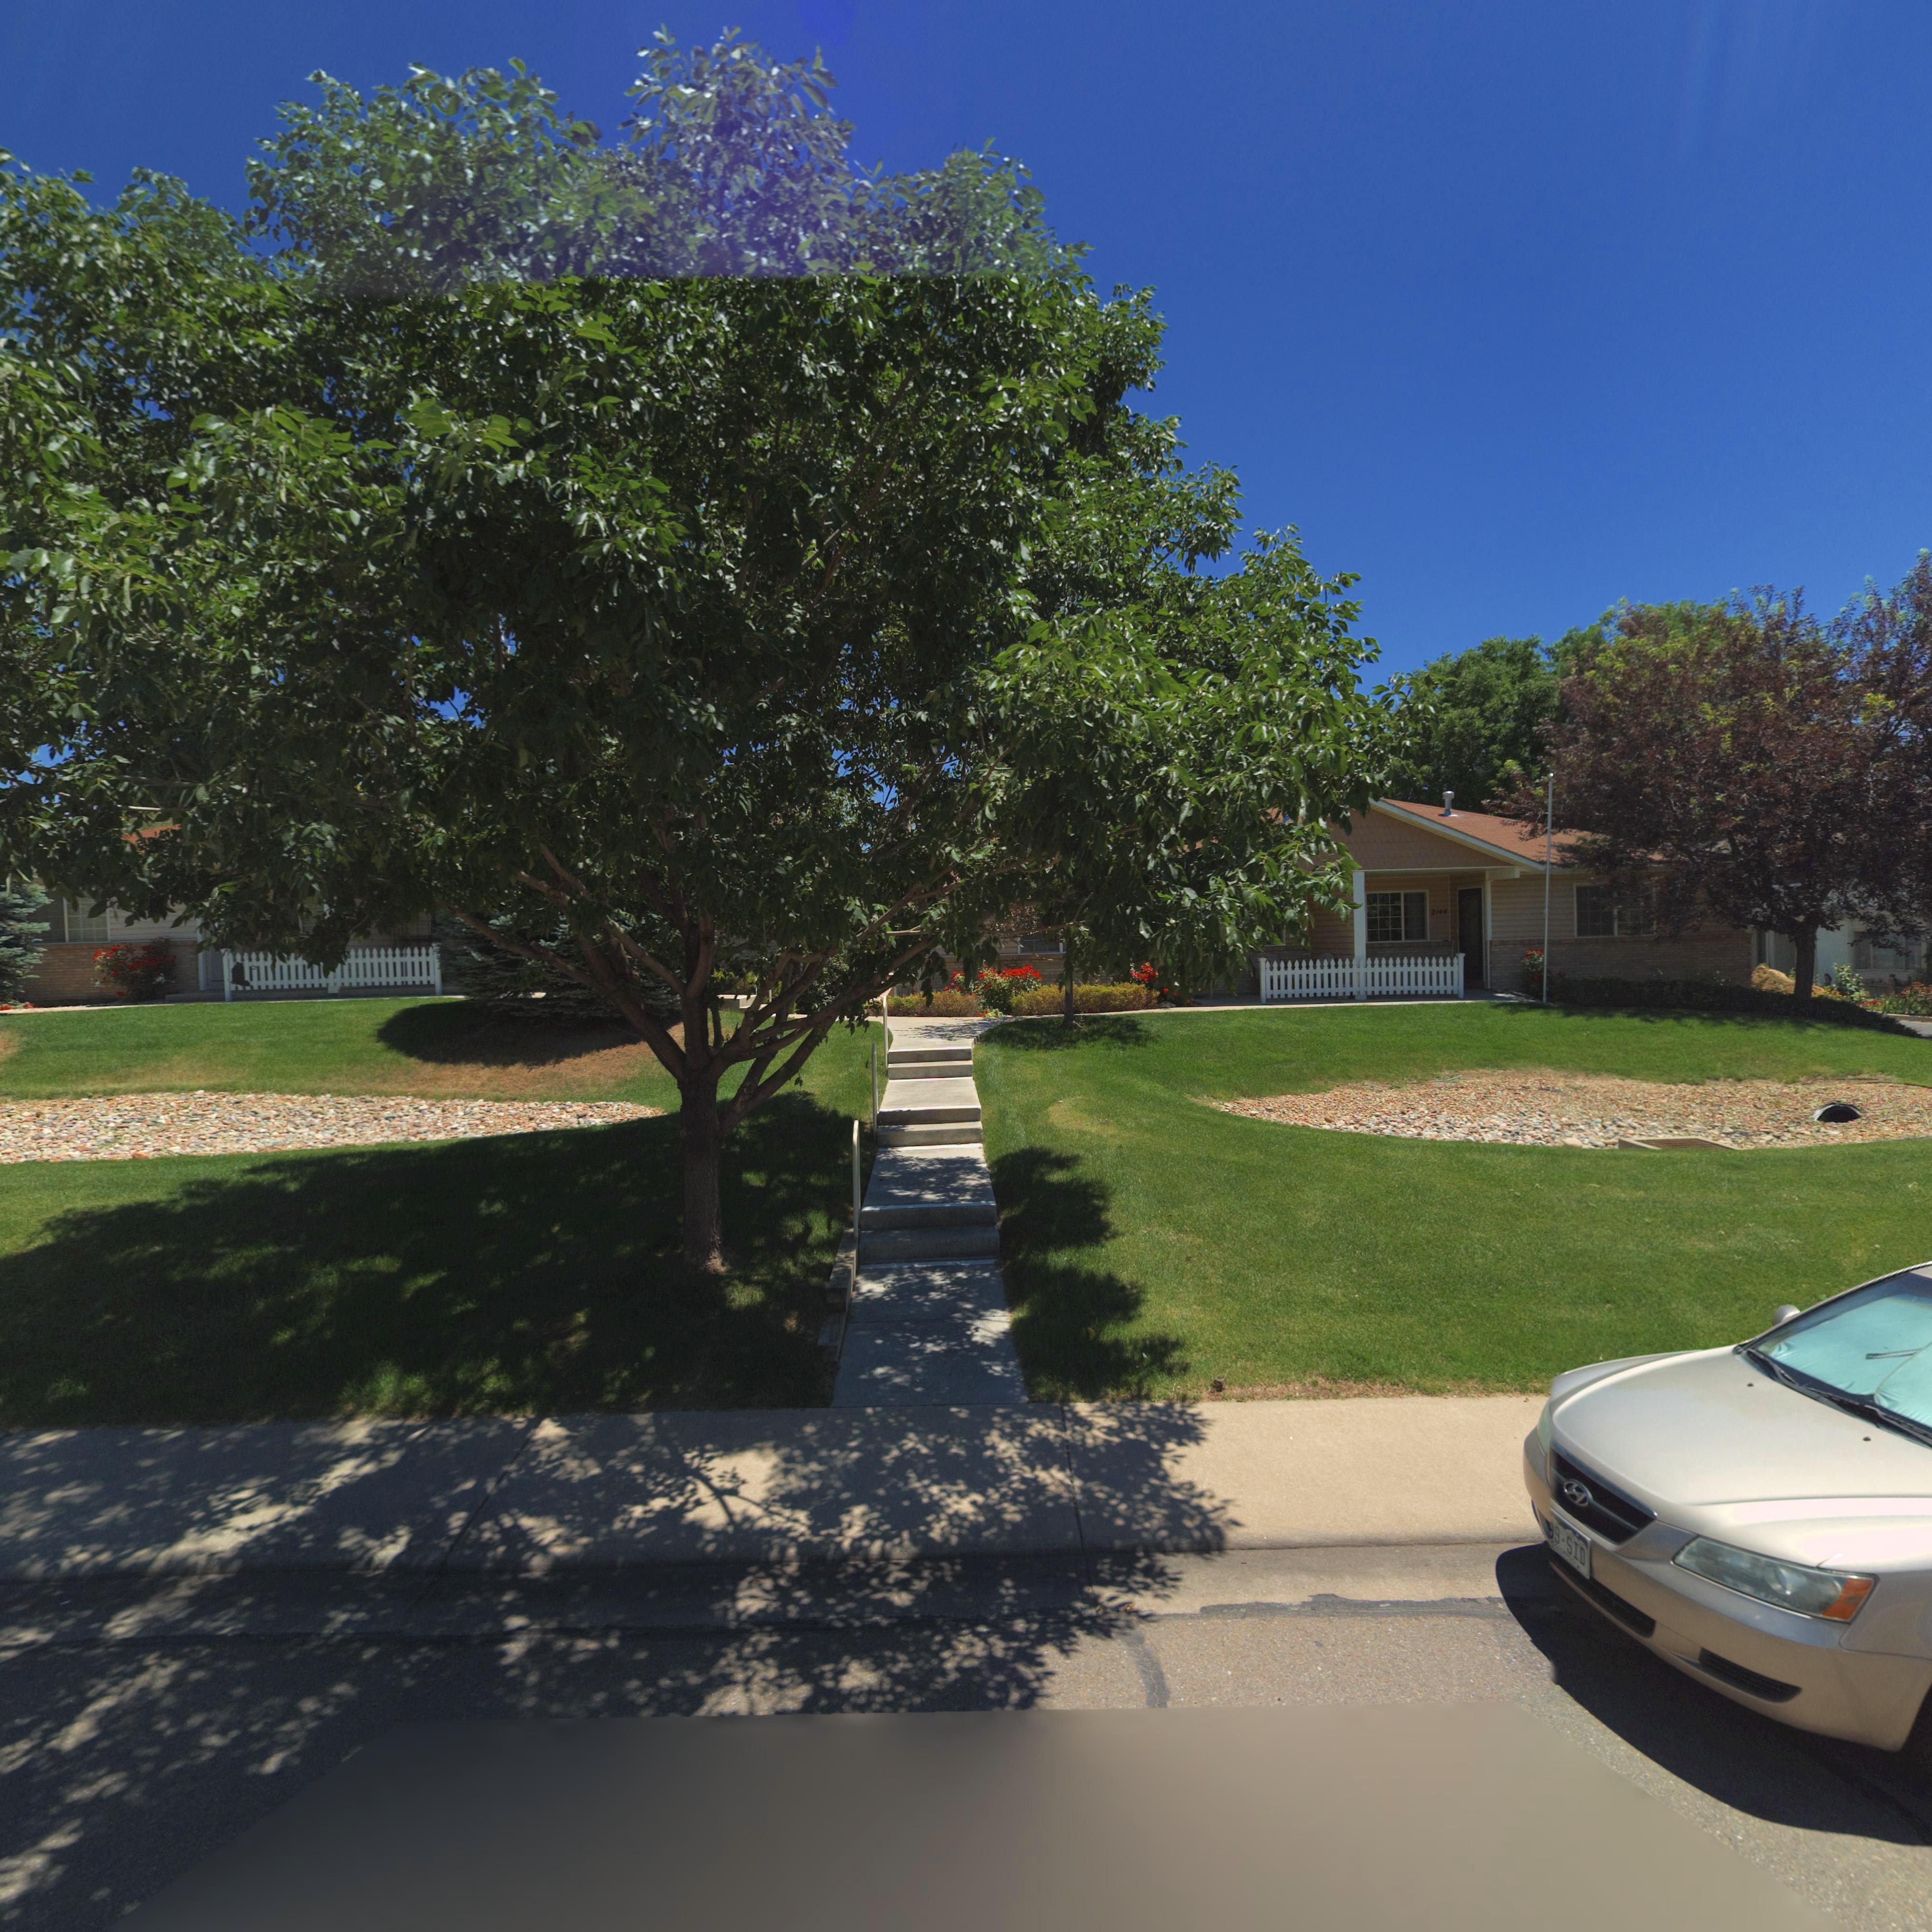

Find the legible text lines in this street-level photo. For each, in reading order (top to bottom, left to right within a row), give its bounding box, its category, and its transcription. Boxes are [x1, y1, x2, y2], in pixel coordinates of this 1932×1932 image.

[1430, 908, 1448, 916] StreetNumber: 2144